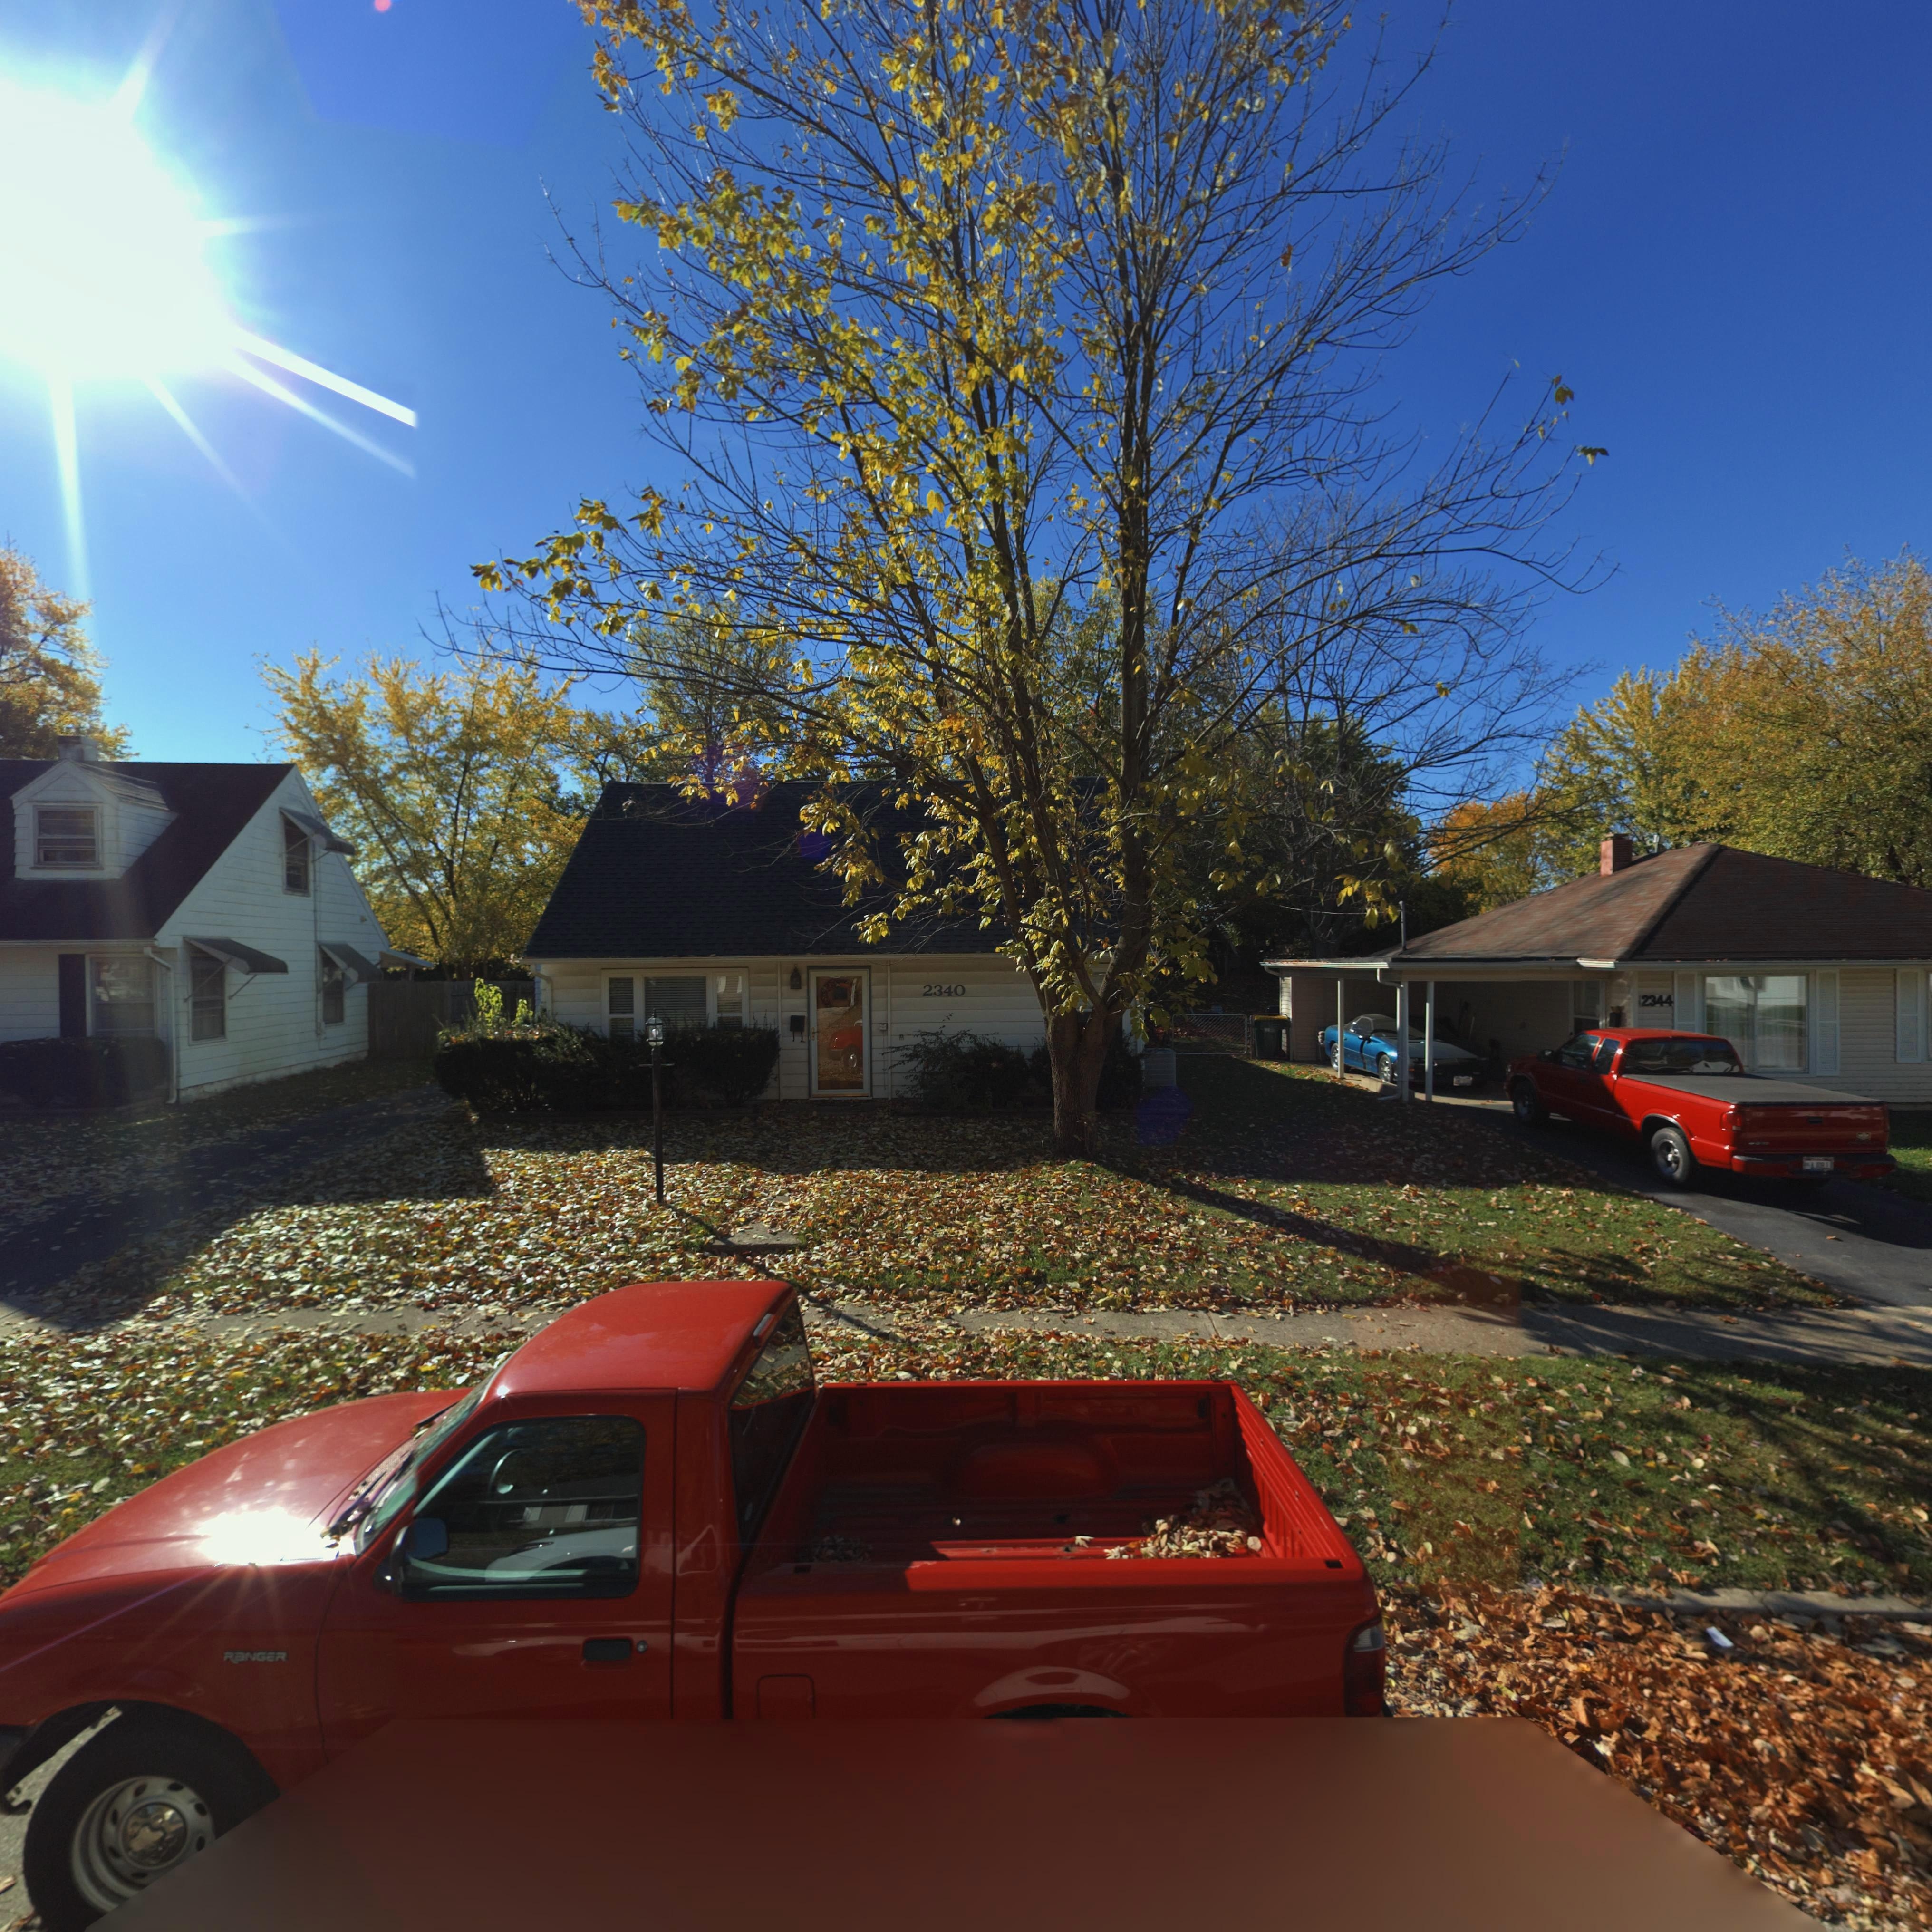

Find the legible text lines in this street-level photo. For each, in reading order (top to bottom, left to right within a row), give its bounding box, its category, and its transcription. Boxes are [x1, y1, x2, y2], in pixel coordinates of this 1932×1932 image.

[922, 984, 966, 997] StreetNumber: 2340
[1640, 994, 1675, 1007] StreetNumber: 2344